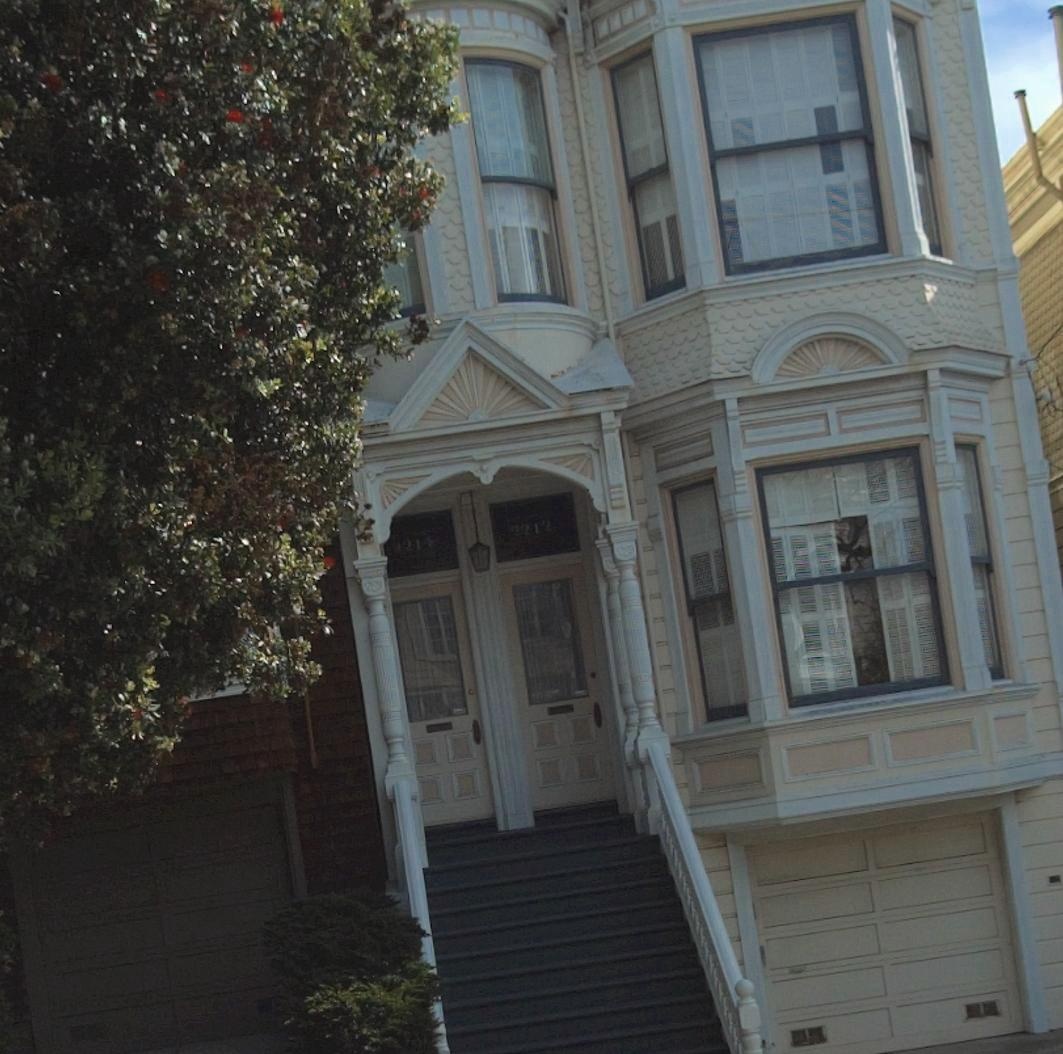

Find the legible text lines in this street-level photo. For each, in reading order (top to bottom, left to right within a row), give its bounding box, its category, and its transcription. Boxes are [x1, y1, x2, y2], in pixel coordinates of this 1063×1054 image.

[509, 517, 556, 540] StreetNumber: 2212
[389, 532, 437, 557] StreetNumber: 2214